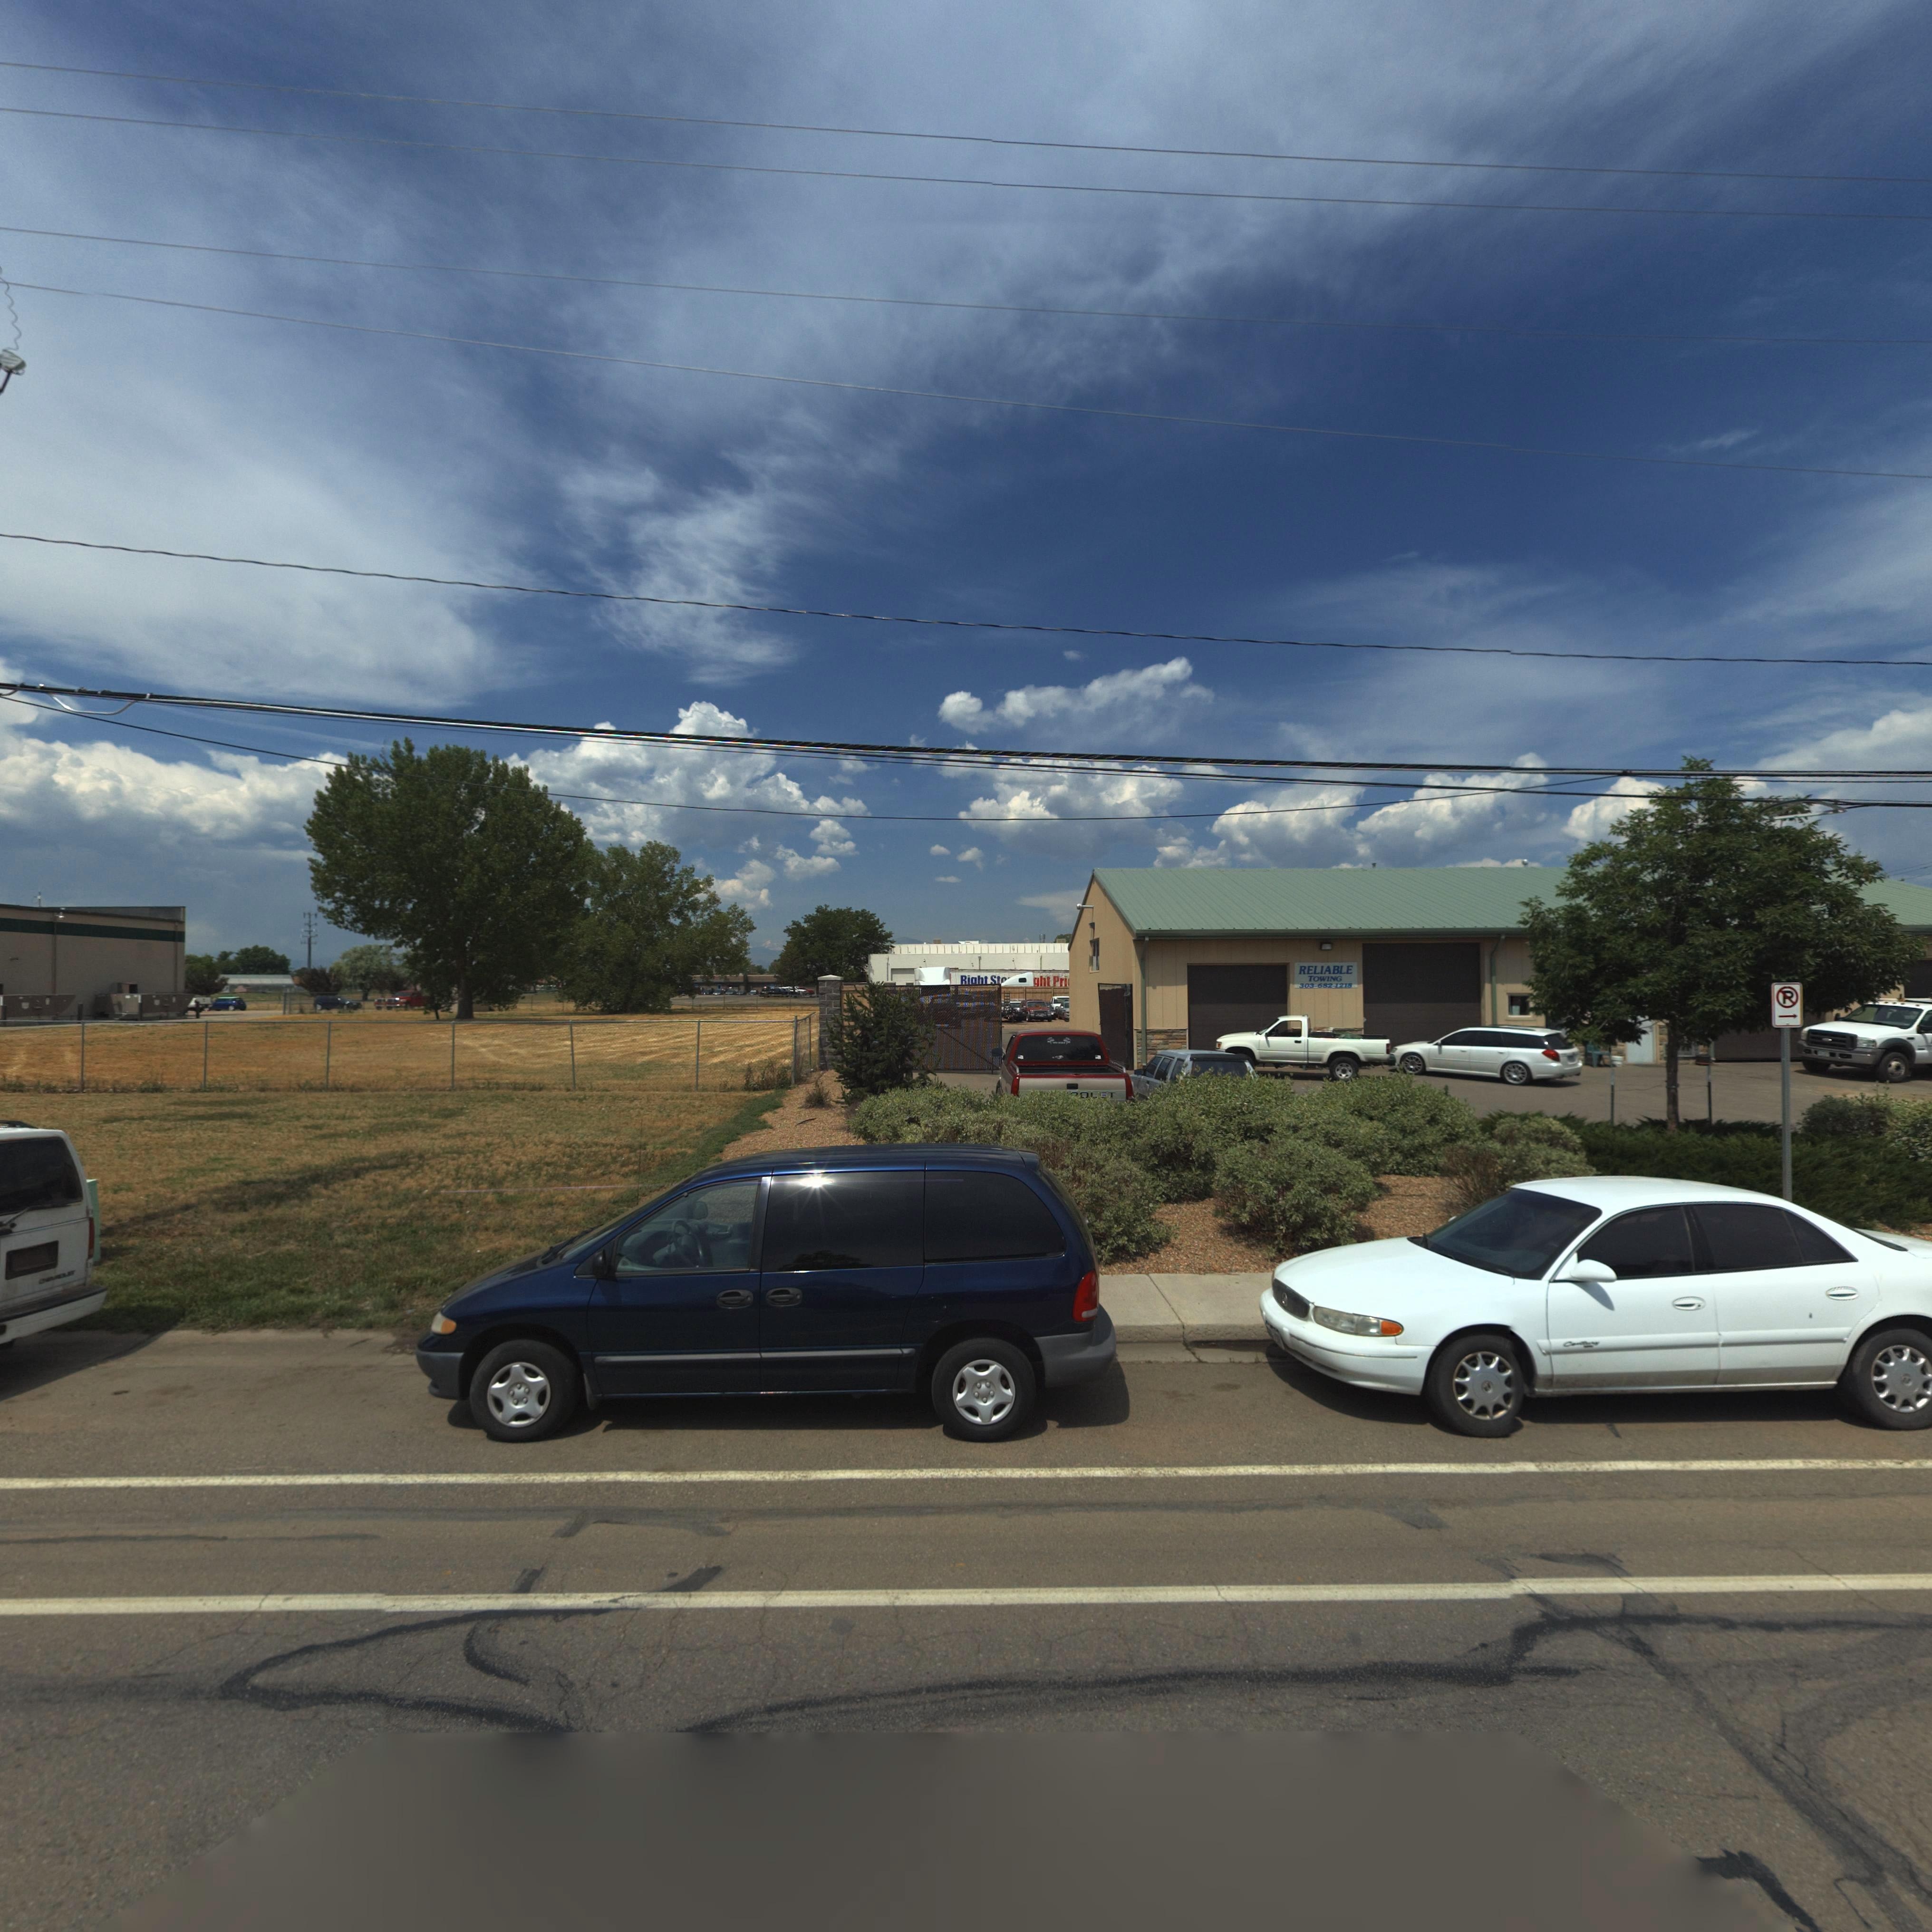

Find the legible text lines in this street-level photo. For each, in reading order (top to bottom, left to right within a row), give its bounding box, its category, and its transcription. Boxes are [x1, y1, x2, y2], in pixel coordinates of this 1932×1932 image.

[1298, 965, 1353, 975] BusinessName: RELIABLE
[1307, 976, 1342, 982] BusinessName: TOWING